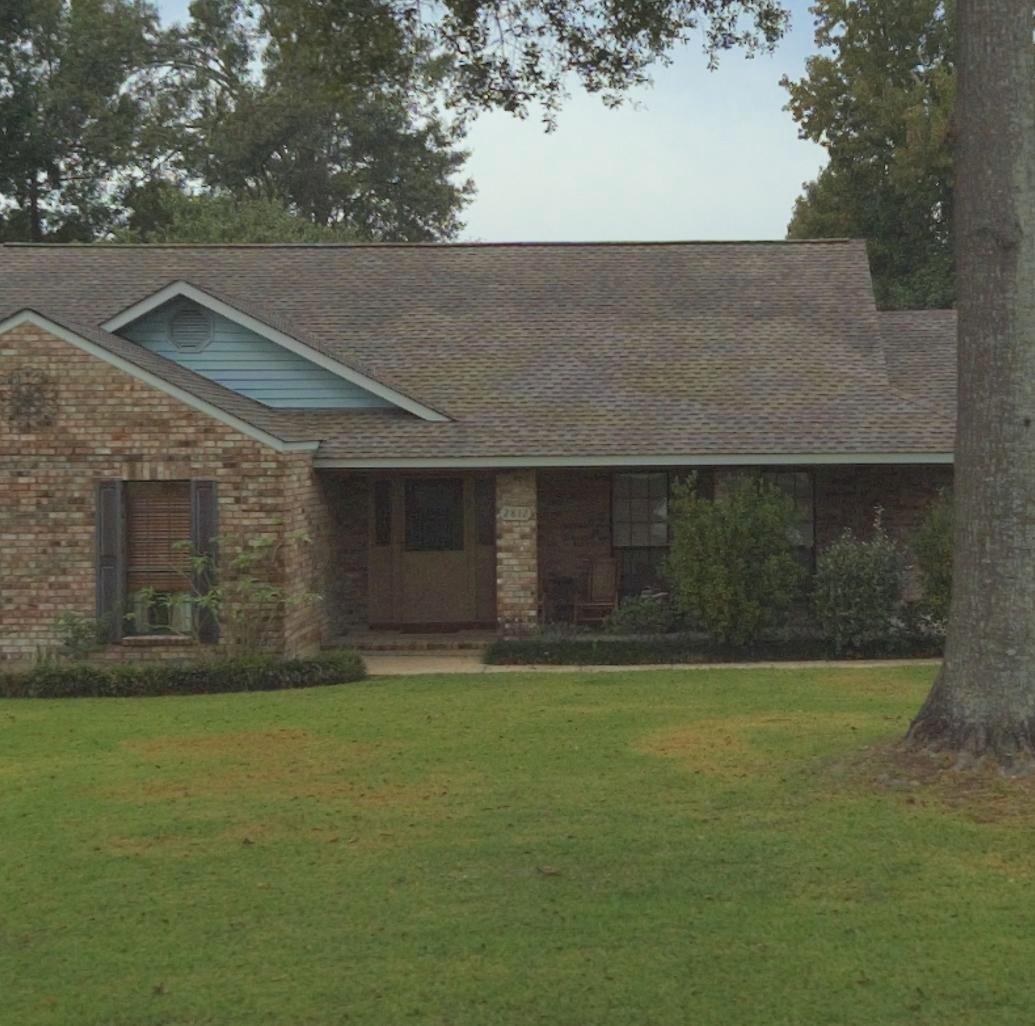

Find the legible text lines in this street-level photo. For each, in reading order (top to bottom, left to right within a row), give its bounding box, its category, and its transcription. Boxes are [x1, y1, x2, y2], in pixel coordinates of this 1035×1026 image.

[502, 507, 529, 518] StreetNumber: 2812